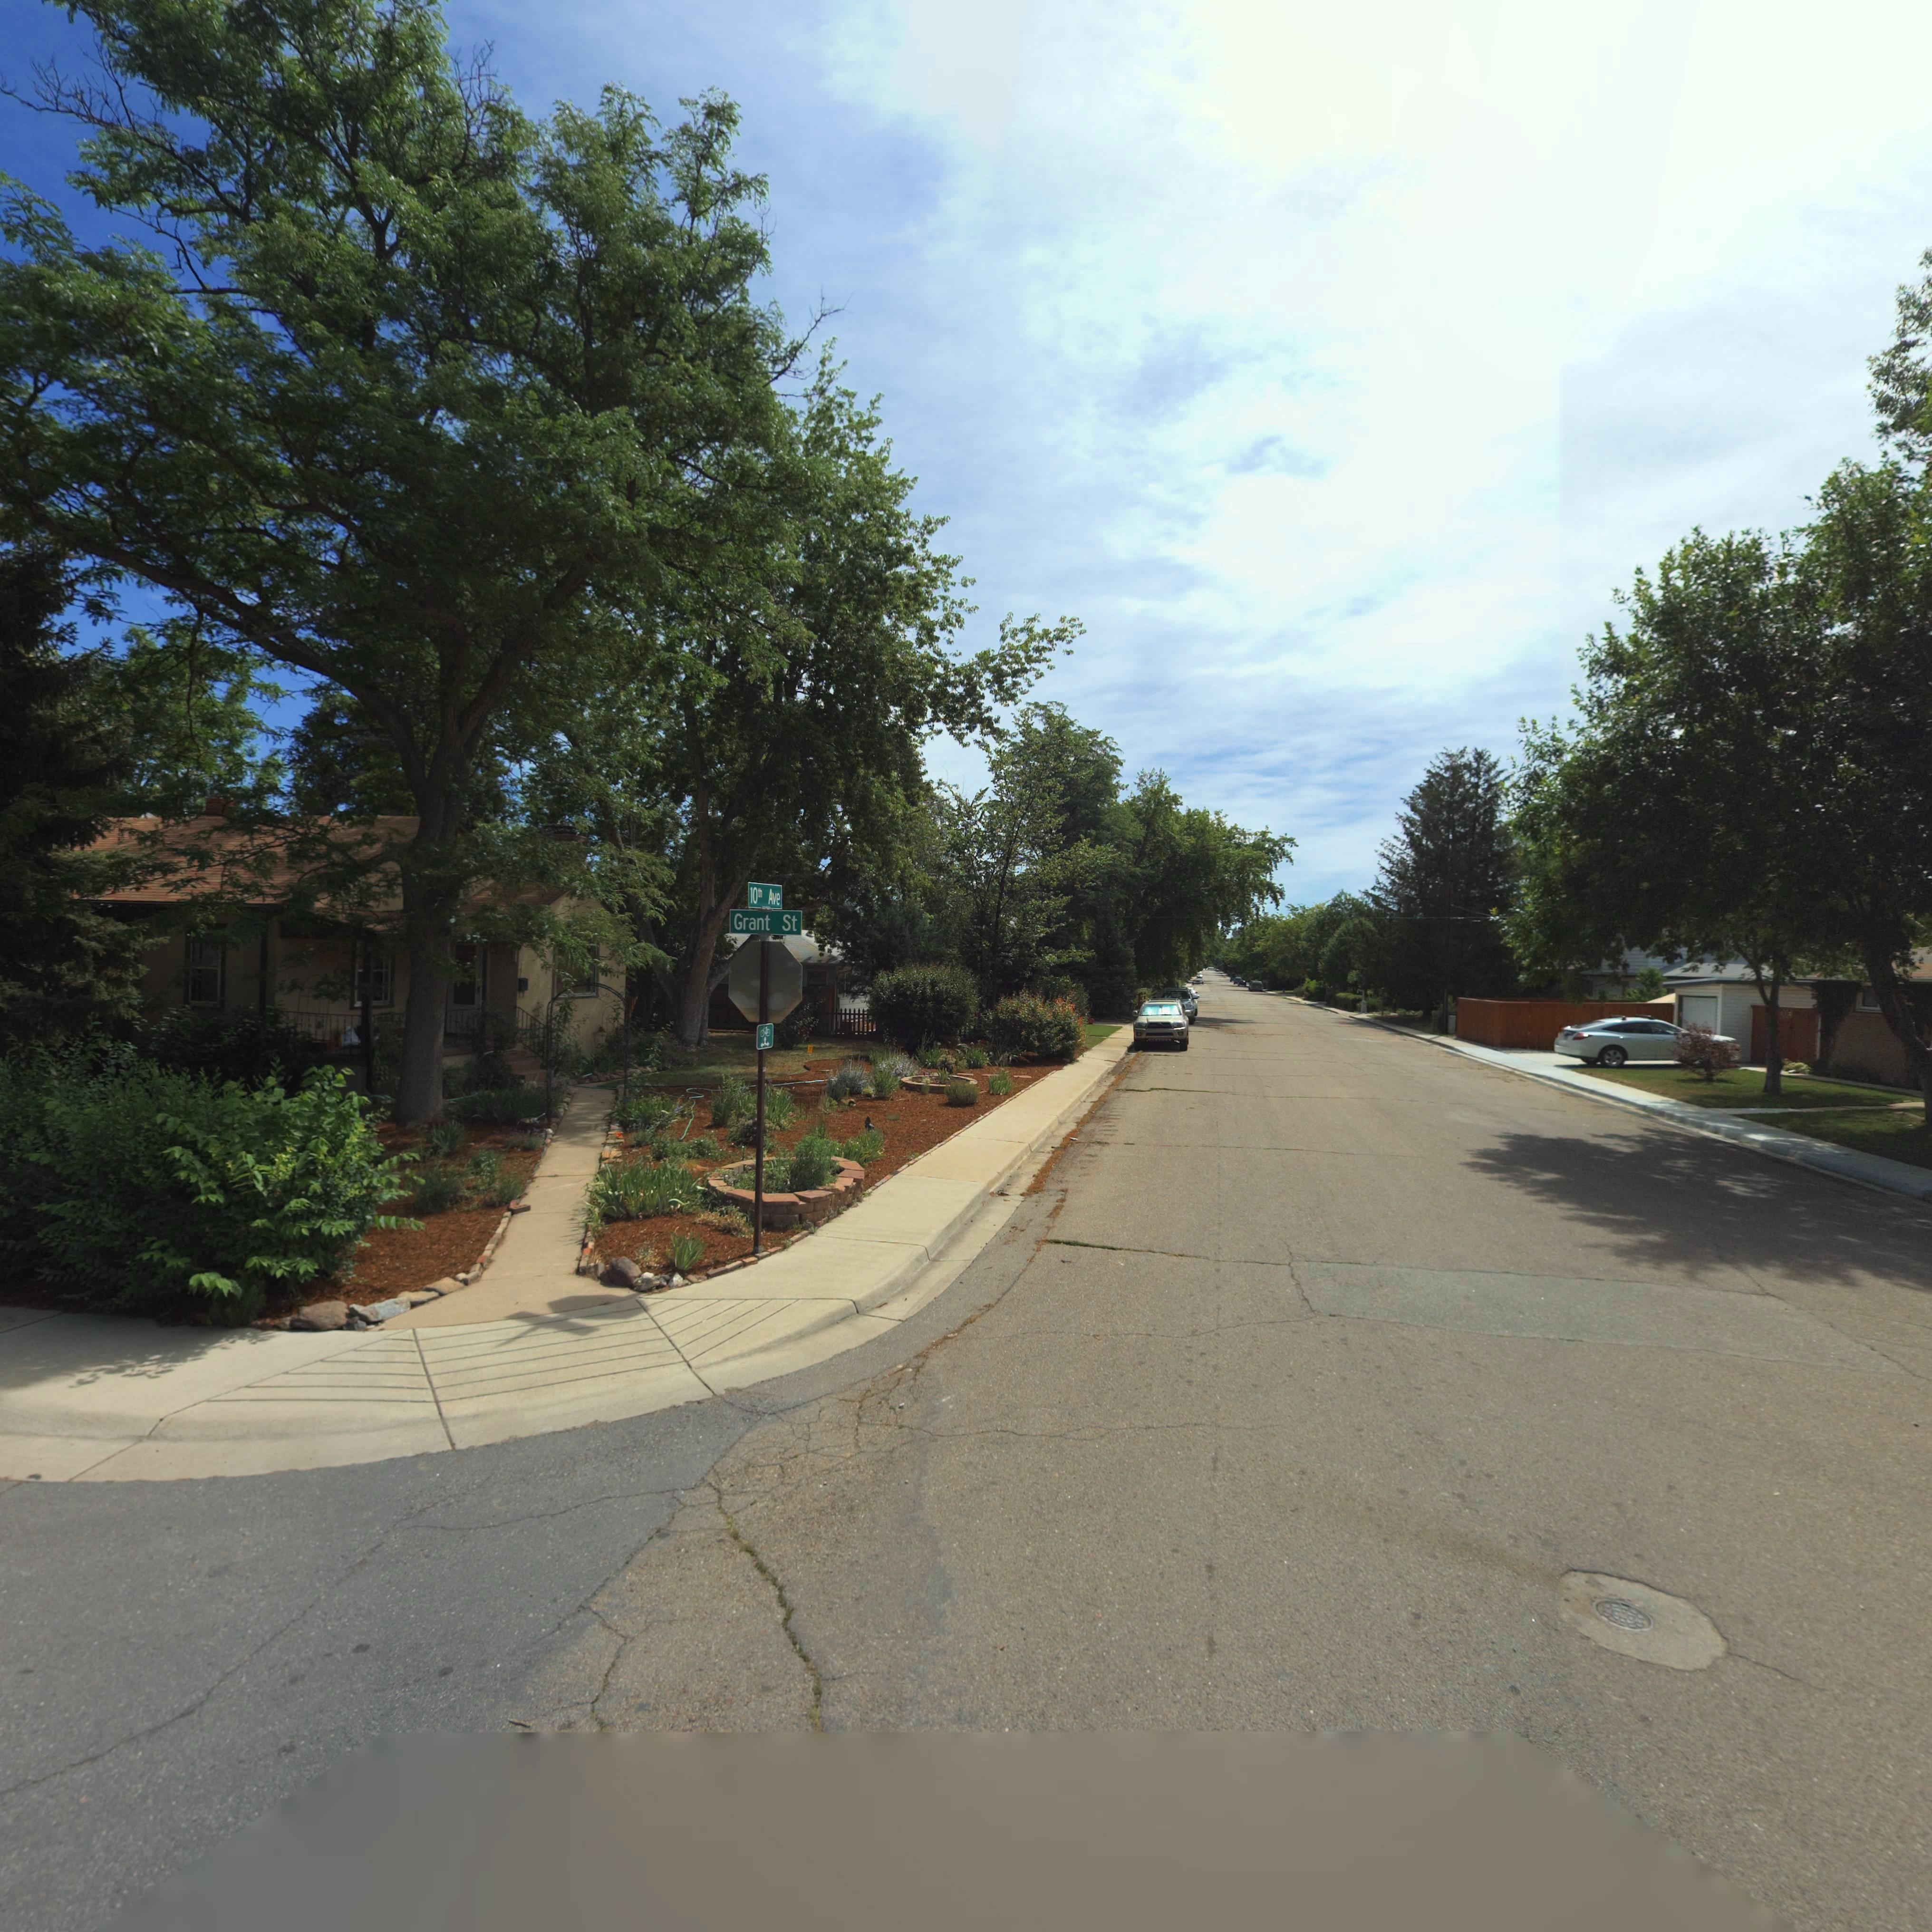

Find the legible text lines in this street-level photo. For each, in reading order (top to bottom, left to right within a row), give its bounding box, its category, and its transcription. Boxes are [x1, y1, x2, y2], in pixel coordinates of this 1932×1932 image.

[749, 886, 781, 905] StreetName: 10th Ave
[733, 912, 798, 932] StreetName: Grant St